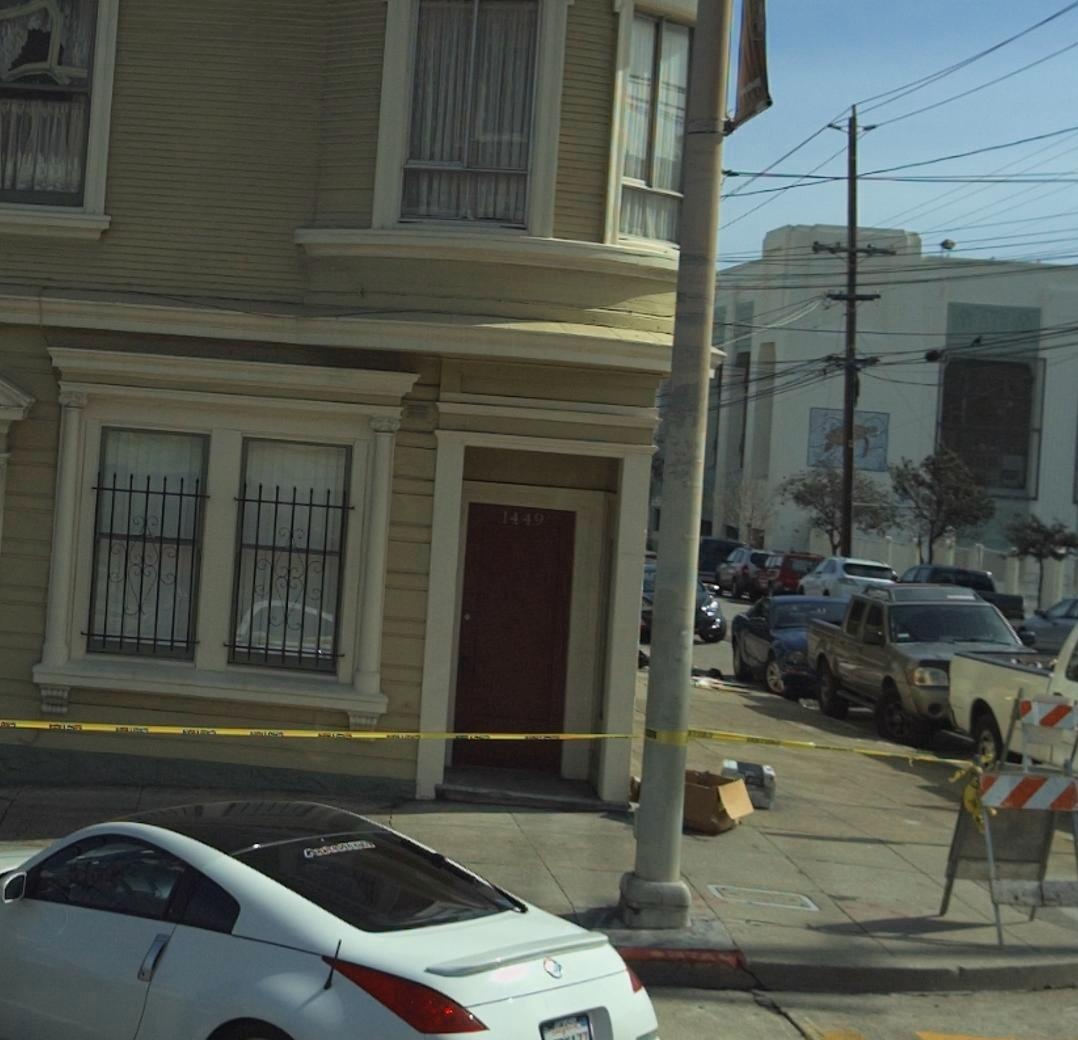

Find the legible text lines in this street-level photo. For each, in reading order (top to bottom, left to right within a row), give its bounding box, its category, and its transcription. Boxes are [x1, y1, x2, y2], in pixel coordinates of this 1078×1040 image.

[500, 508, 545, 528] StreetNumber: 1449